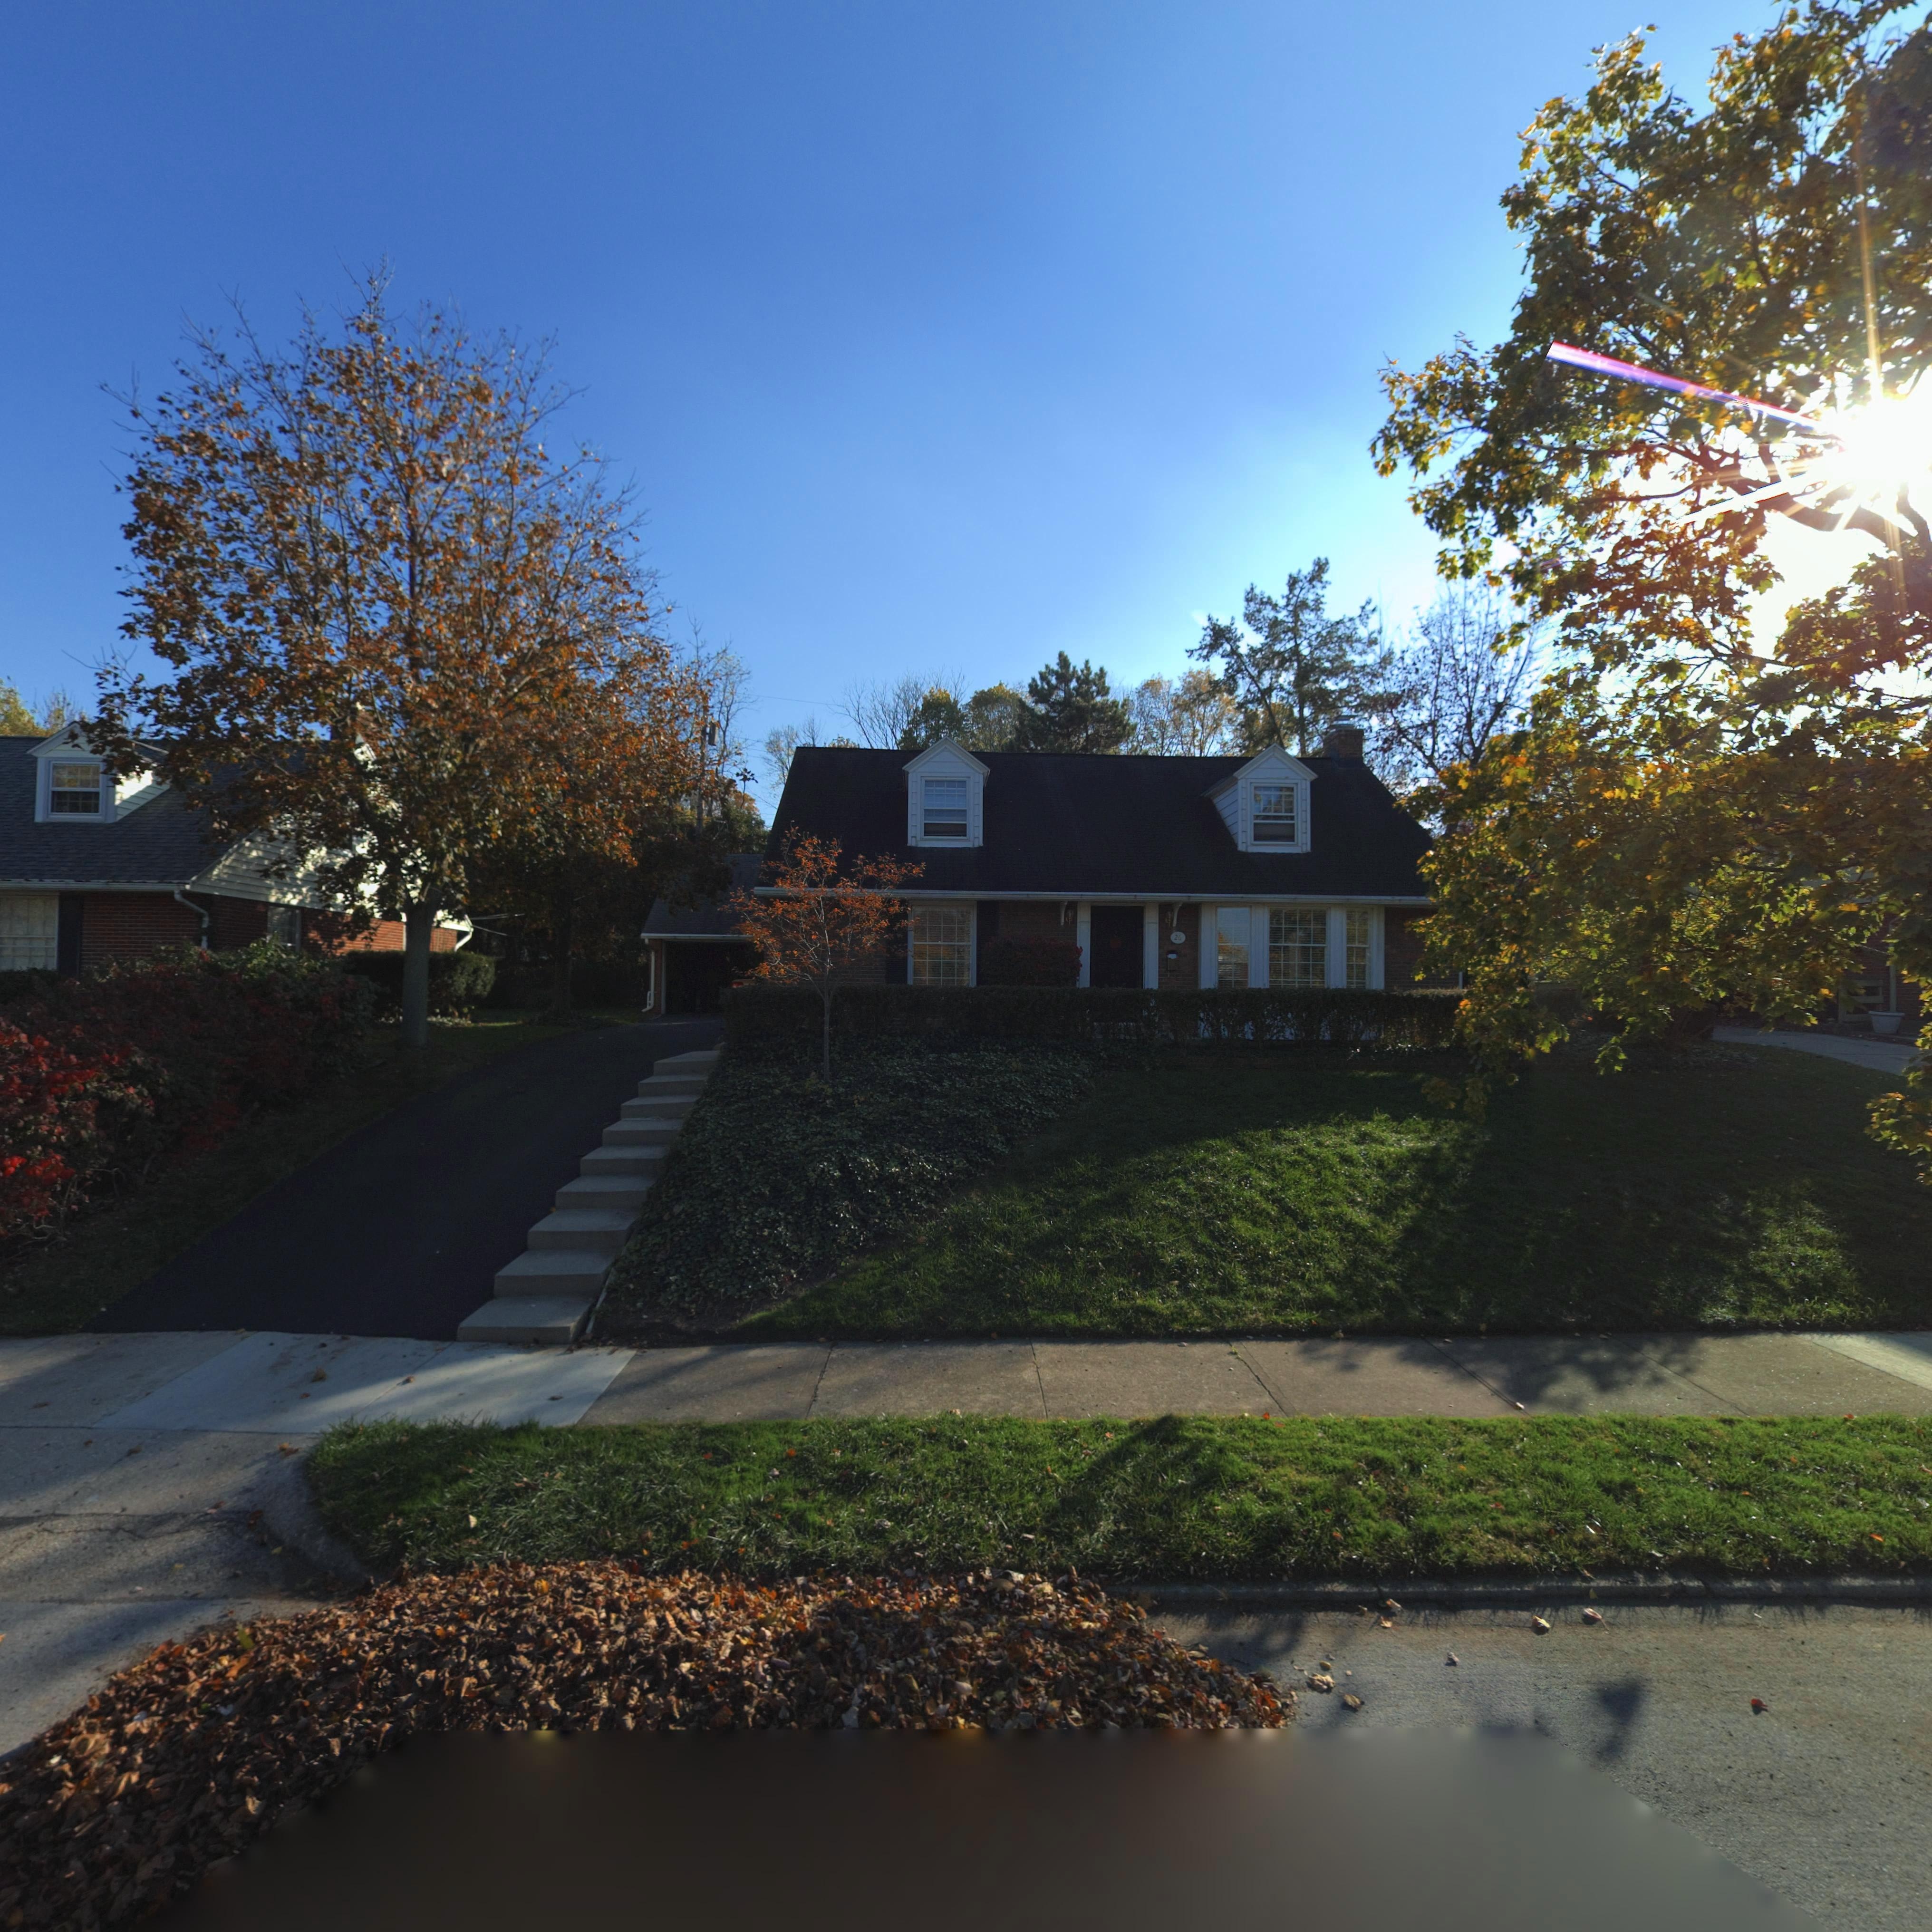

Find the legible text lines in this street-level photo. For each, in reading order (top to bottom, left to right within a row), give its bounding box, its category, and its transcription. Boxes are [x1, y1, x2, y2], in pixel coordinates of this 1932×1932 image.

[1174, 934, 1182, 941] StreetNumber: 26